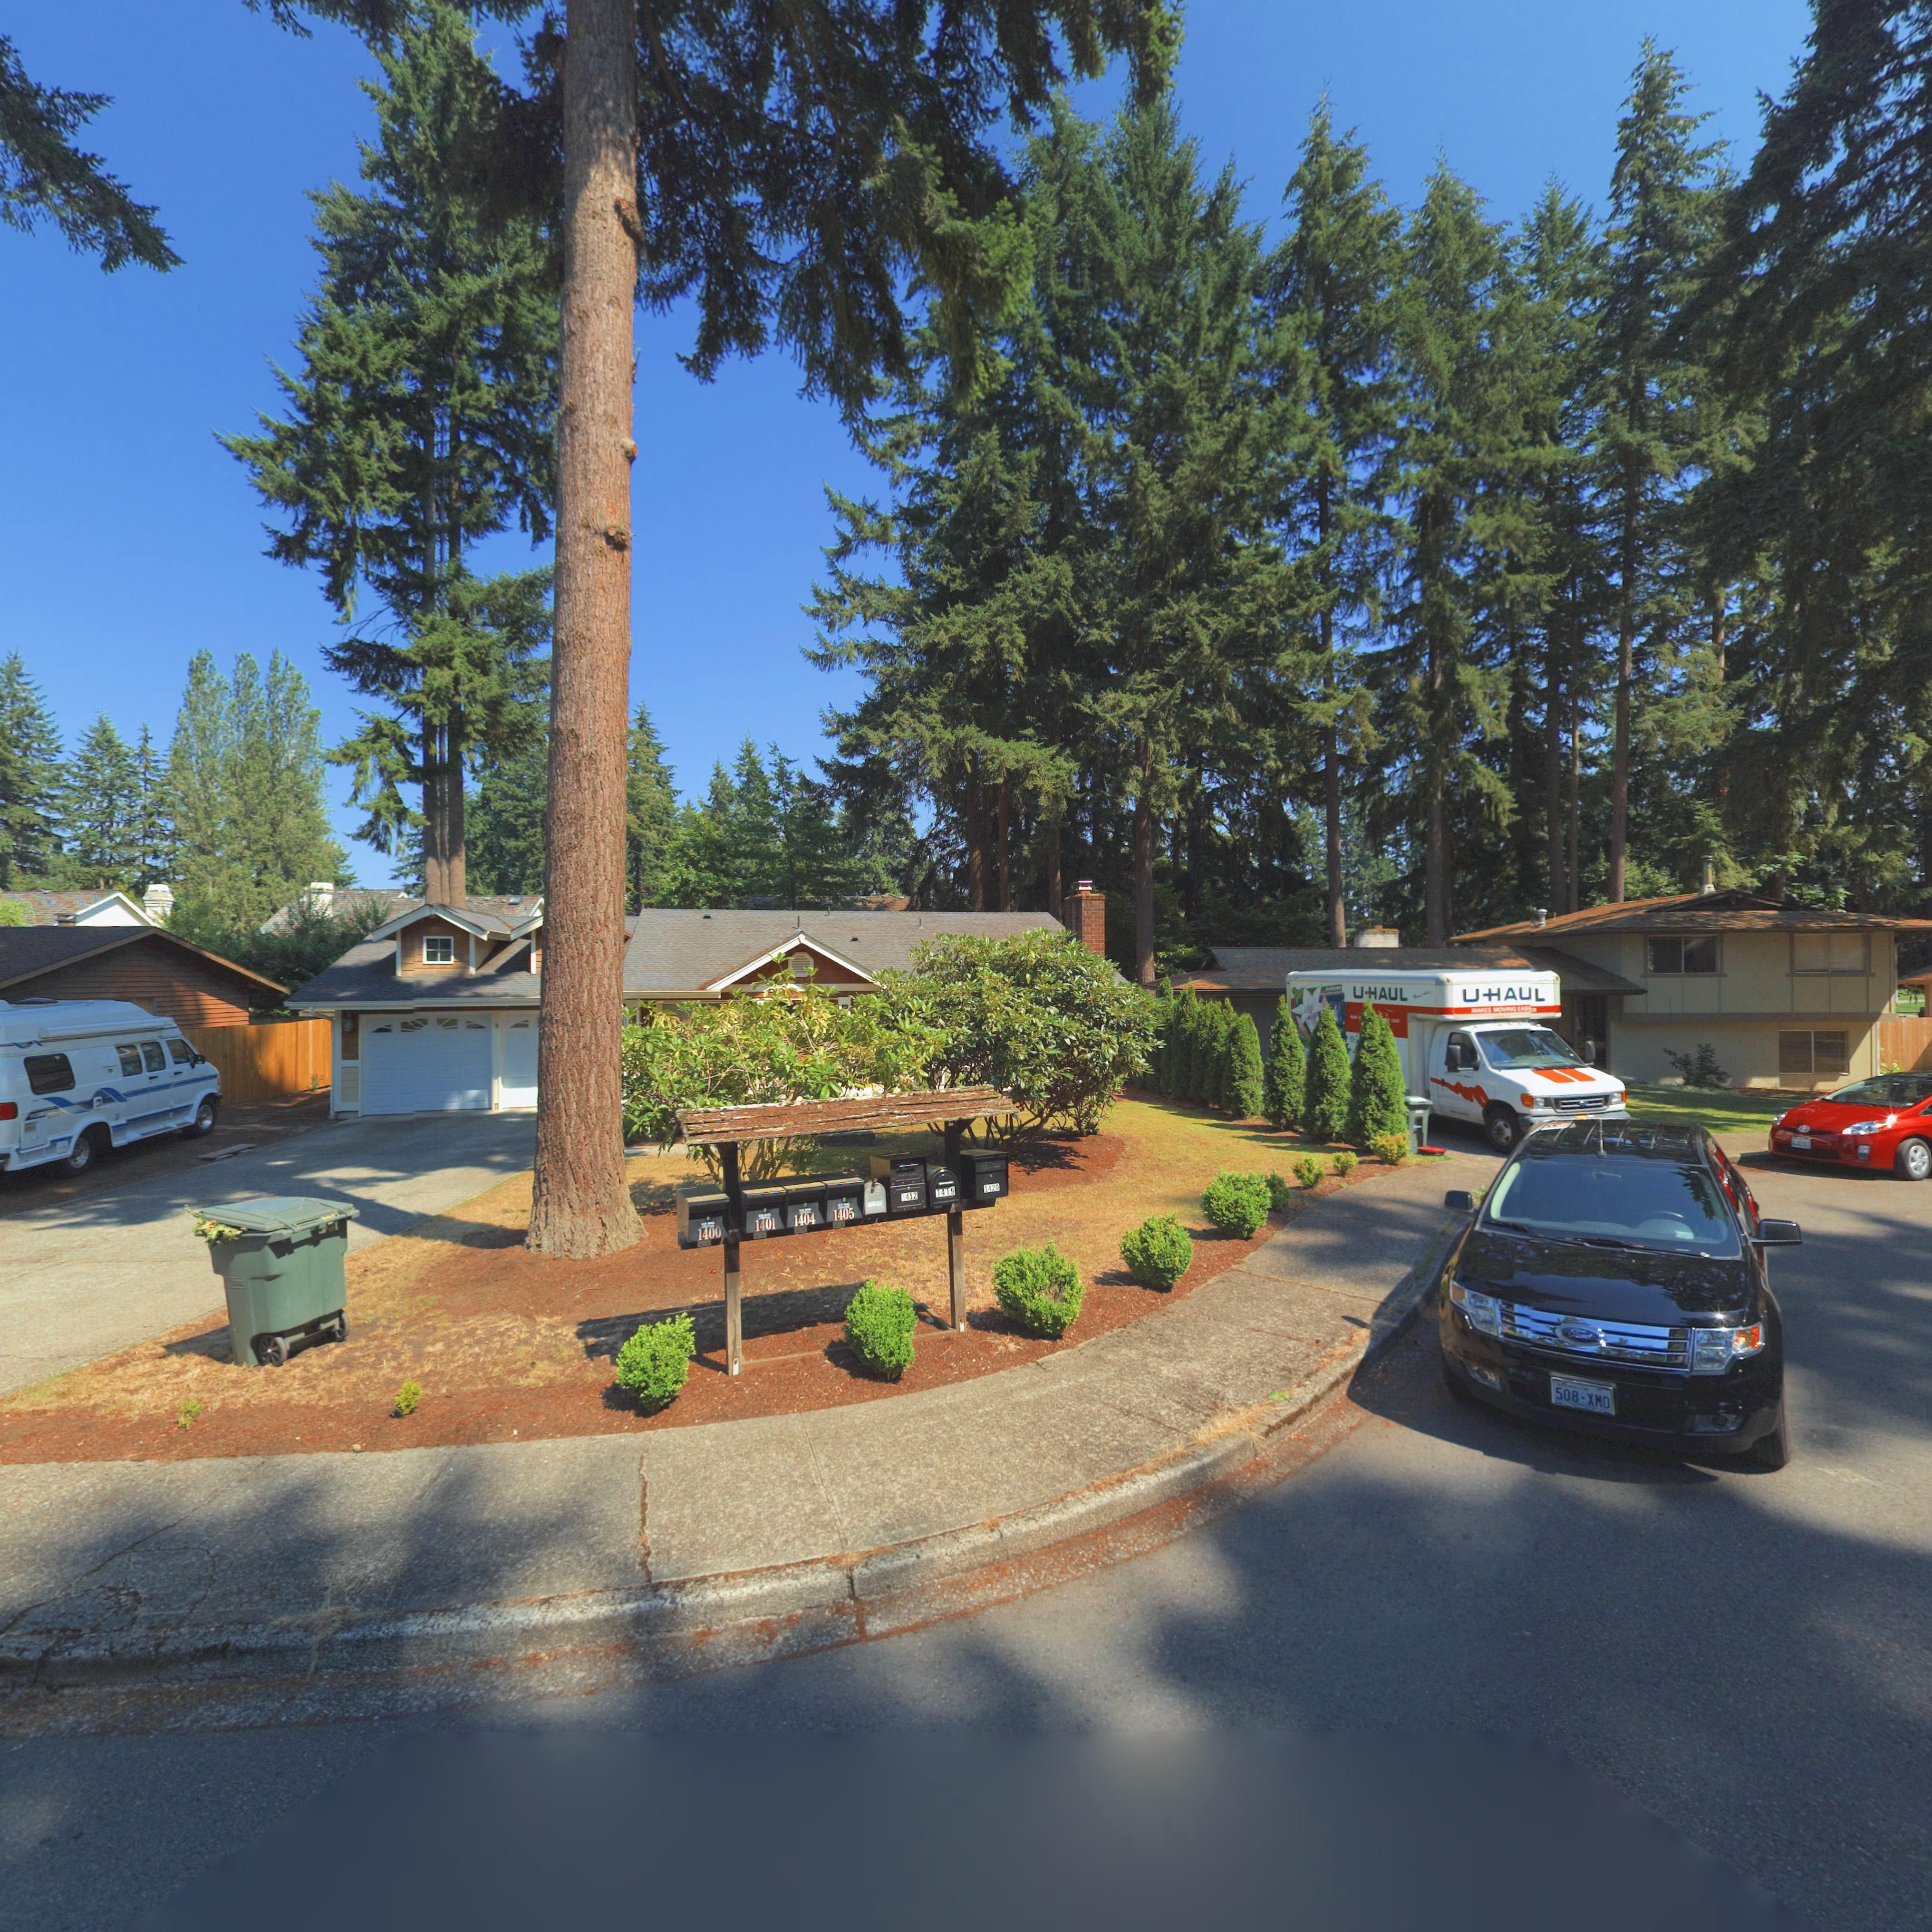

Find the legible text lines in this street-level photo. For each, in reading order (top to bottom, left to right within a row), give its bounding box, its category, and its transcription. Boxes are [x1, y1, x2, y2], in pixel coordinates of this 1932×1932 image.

[901, 1192, 918, 1201] StreetNumber: 1412
[937, 1186, 954, 1197] StreetNumber: 1419
[984, 1183, 999, 1192] StreetNumber: 1420
[754, 1217, 776, 1232] StreetNumber: 1401
[793, 1211, 816, 1227] StreetNumber: 1404
[832, 1206, 855, 1221] StreetNumber: 1405
[696, 1224, 722, 1241] StreetNumber: 1400